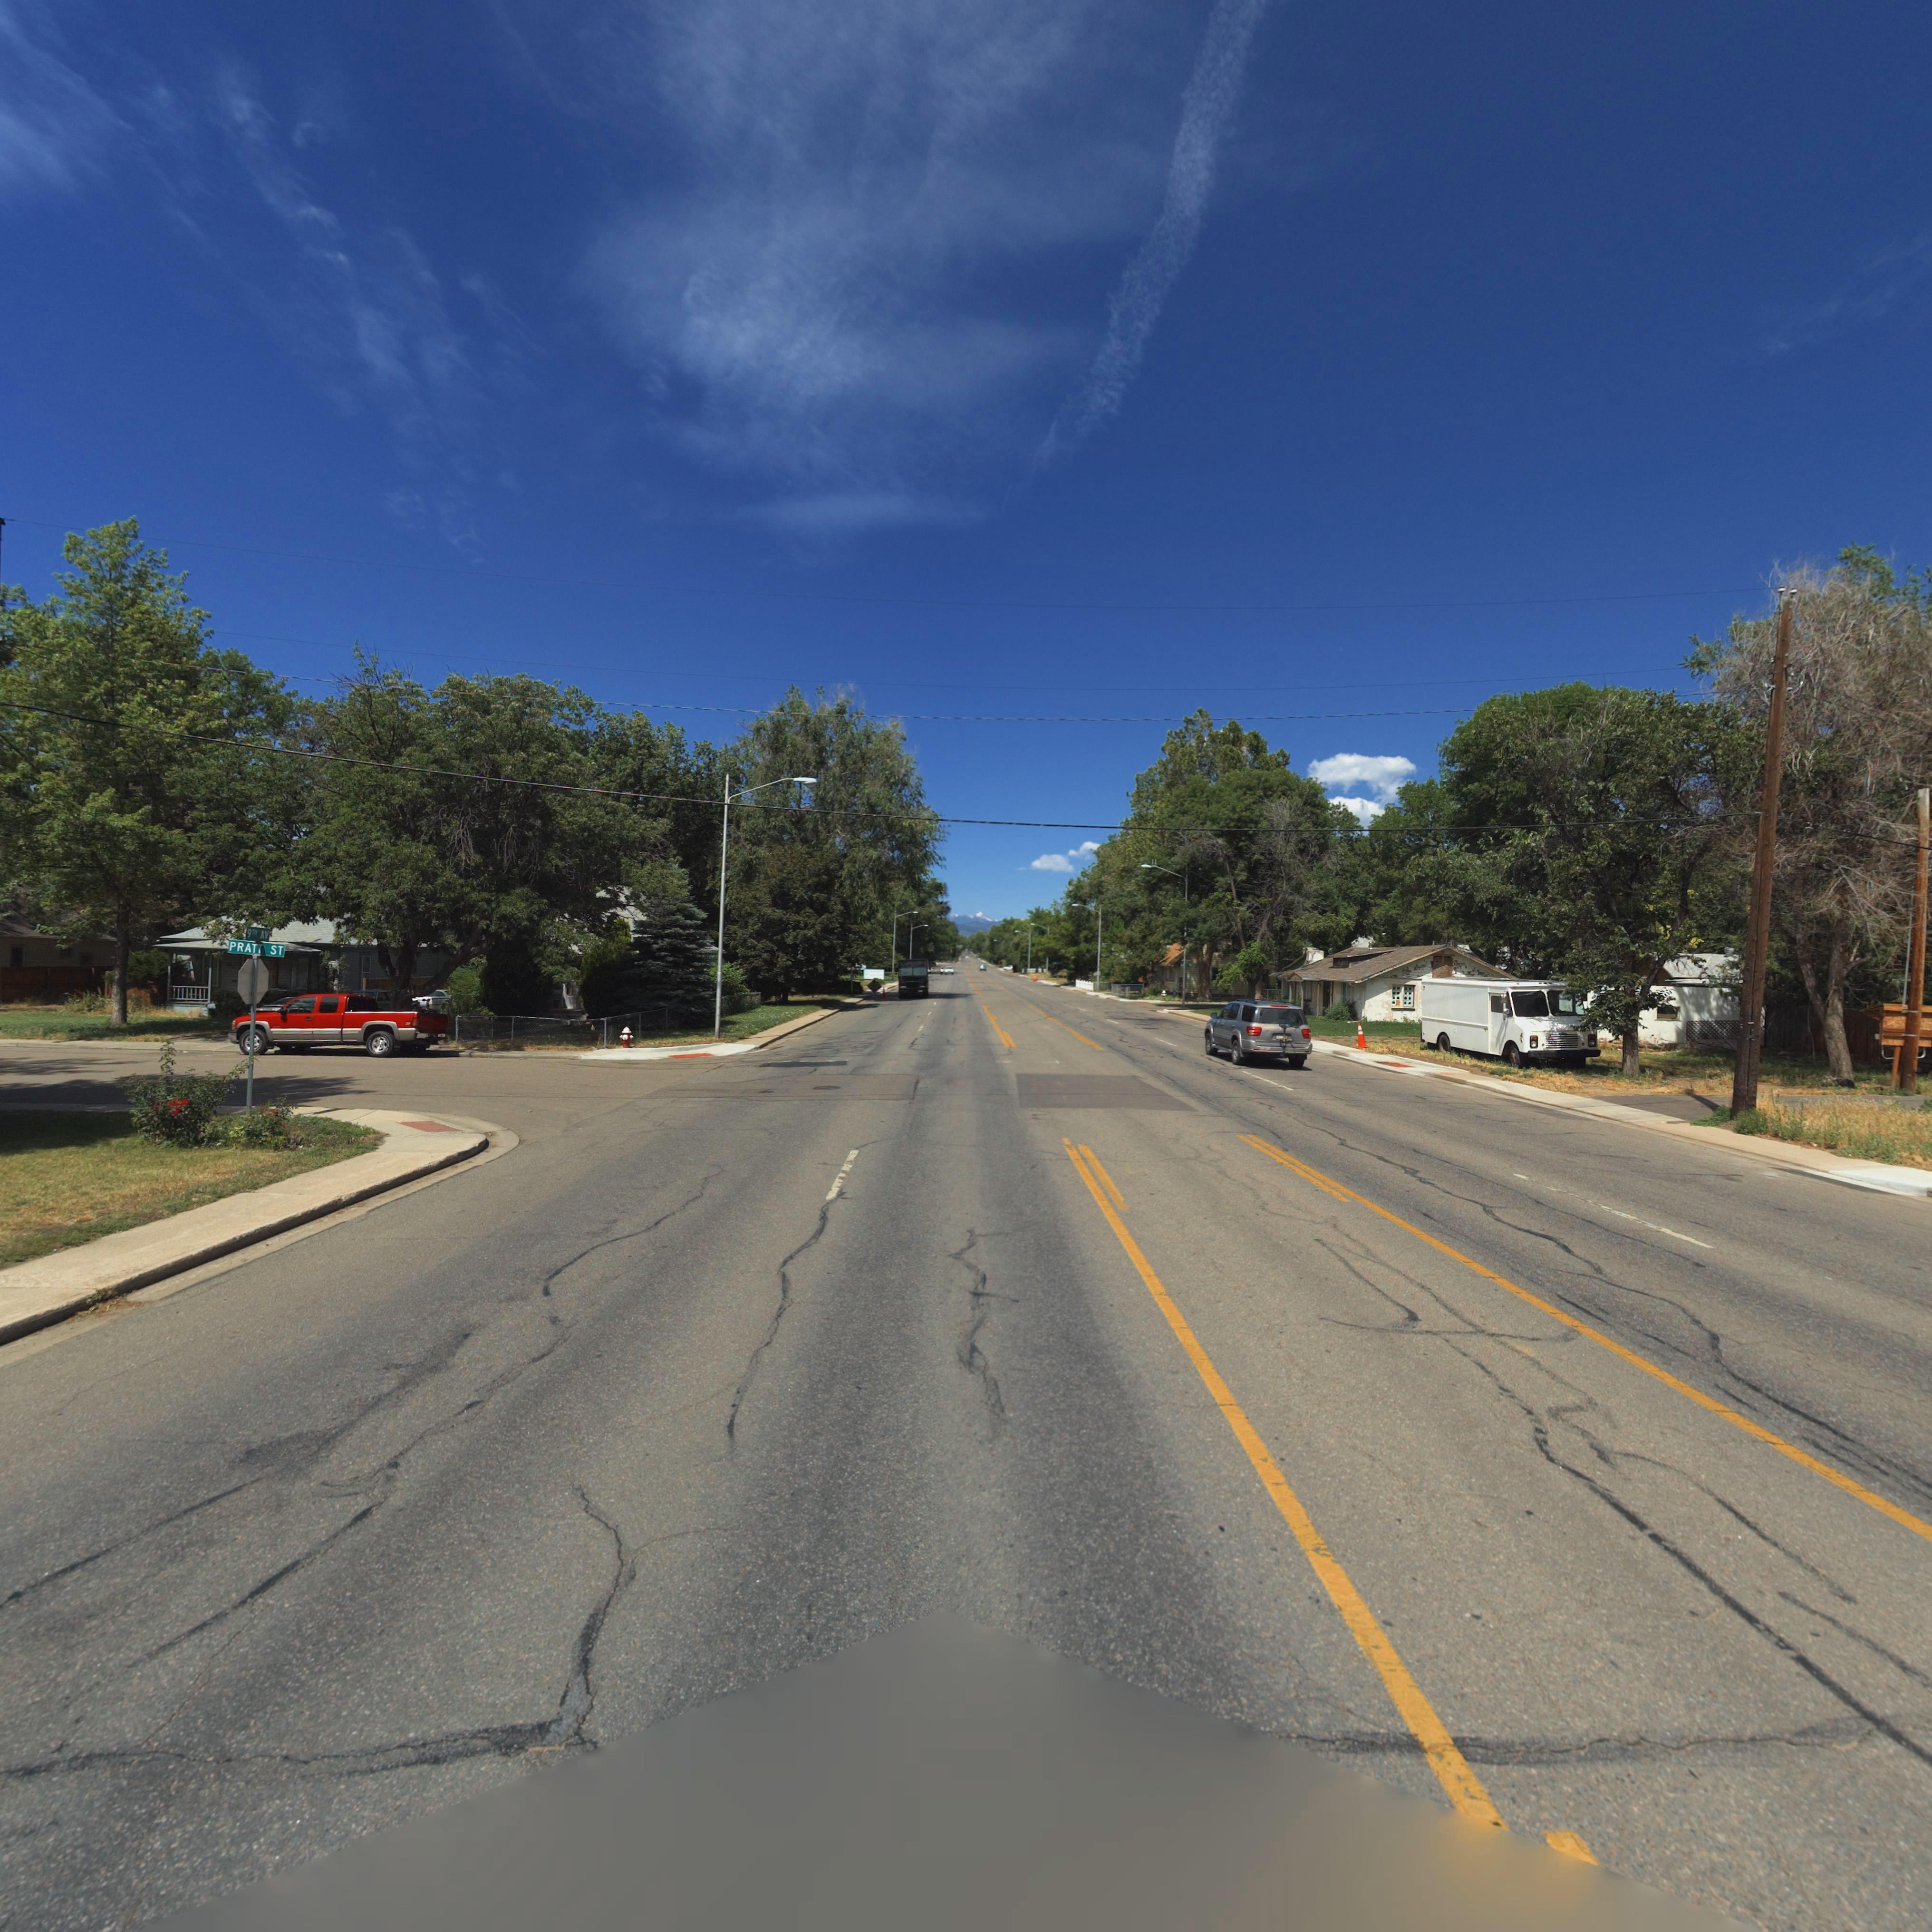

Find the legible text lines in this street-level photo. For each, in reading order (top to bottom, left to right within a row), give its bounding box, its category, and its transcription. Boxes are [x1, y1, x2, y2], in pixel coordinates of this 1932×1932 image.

[246, 928, 270, 939] StreetName: 9** AV
[229, 941, 284, 956] StreetName: PRATT ST